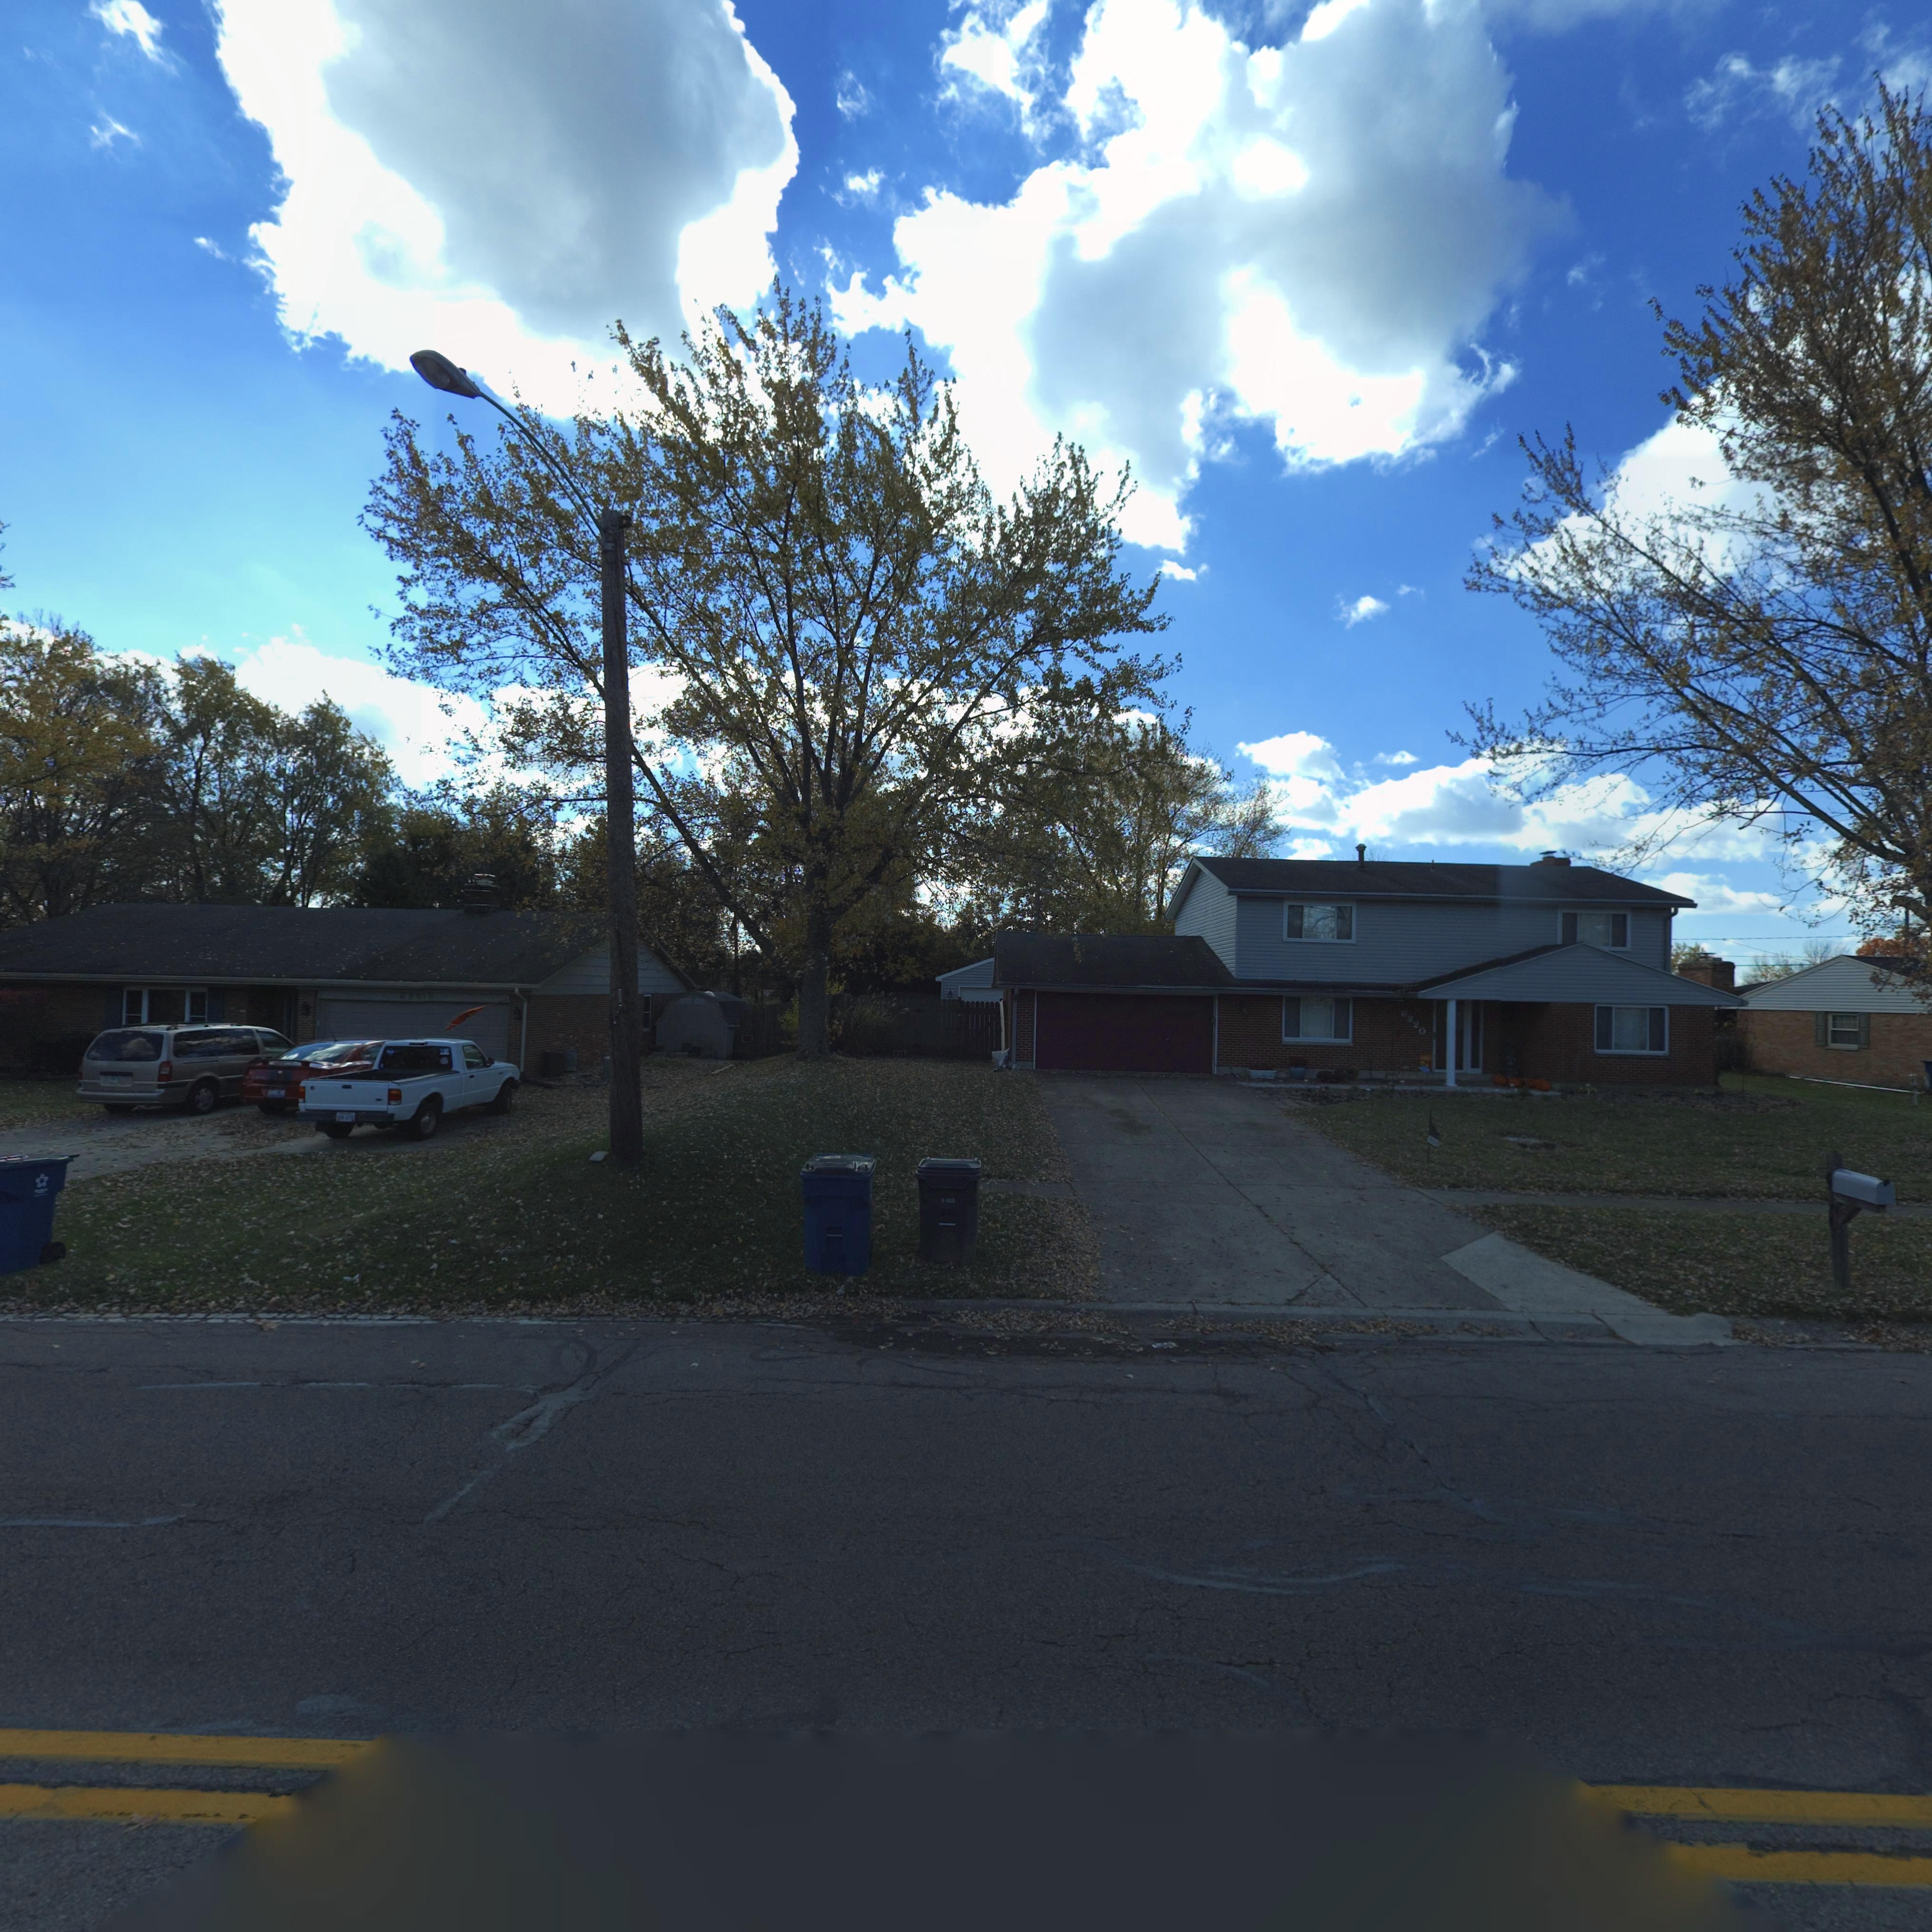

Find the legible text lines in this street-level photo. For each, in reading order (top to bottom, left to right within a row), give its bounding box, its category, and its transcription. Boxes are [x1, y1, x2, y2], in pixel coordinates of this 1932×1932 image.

[399, 992, 434, 1001] StreetNumber: 638*8
[1400, 1010, 1427, 1035] StreetNumber: 6320